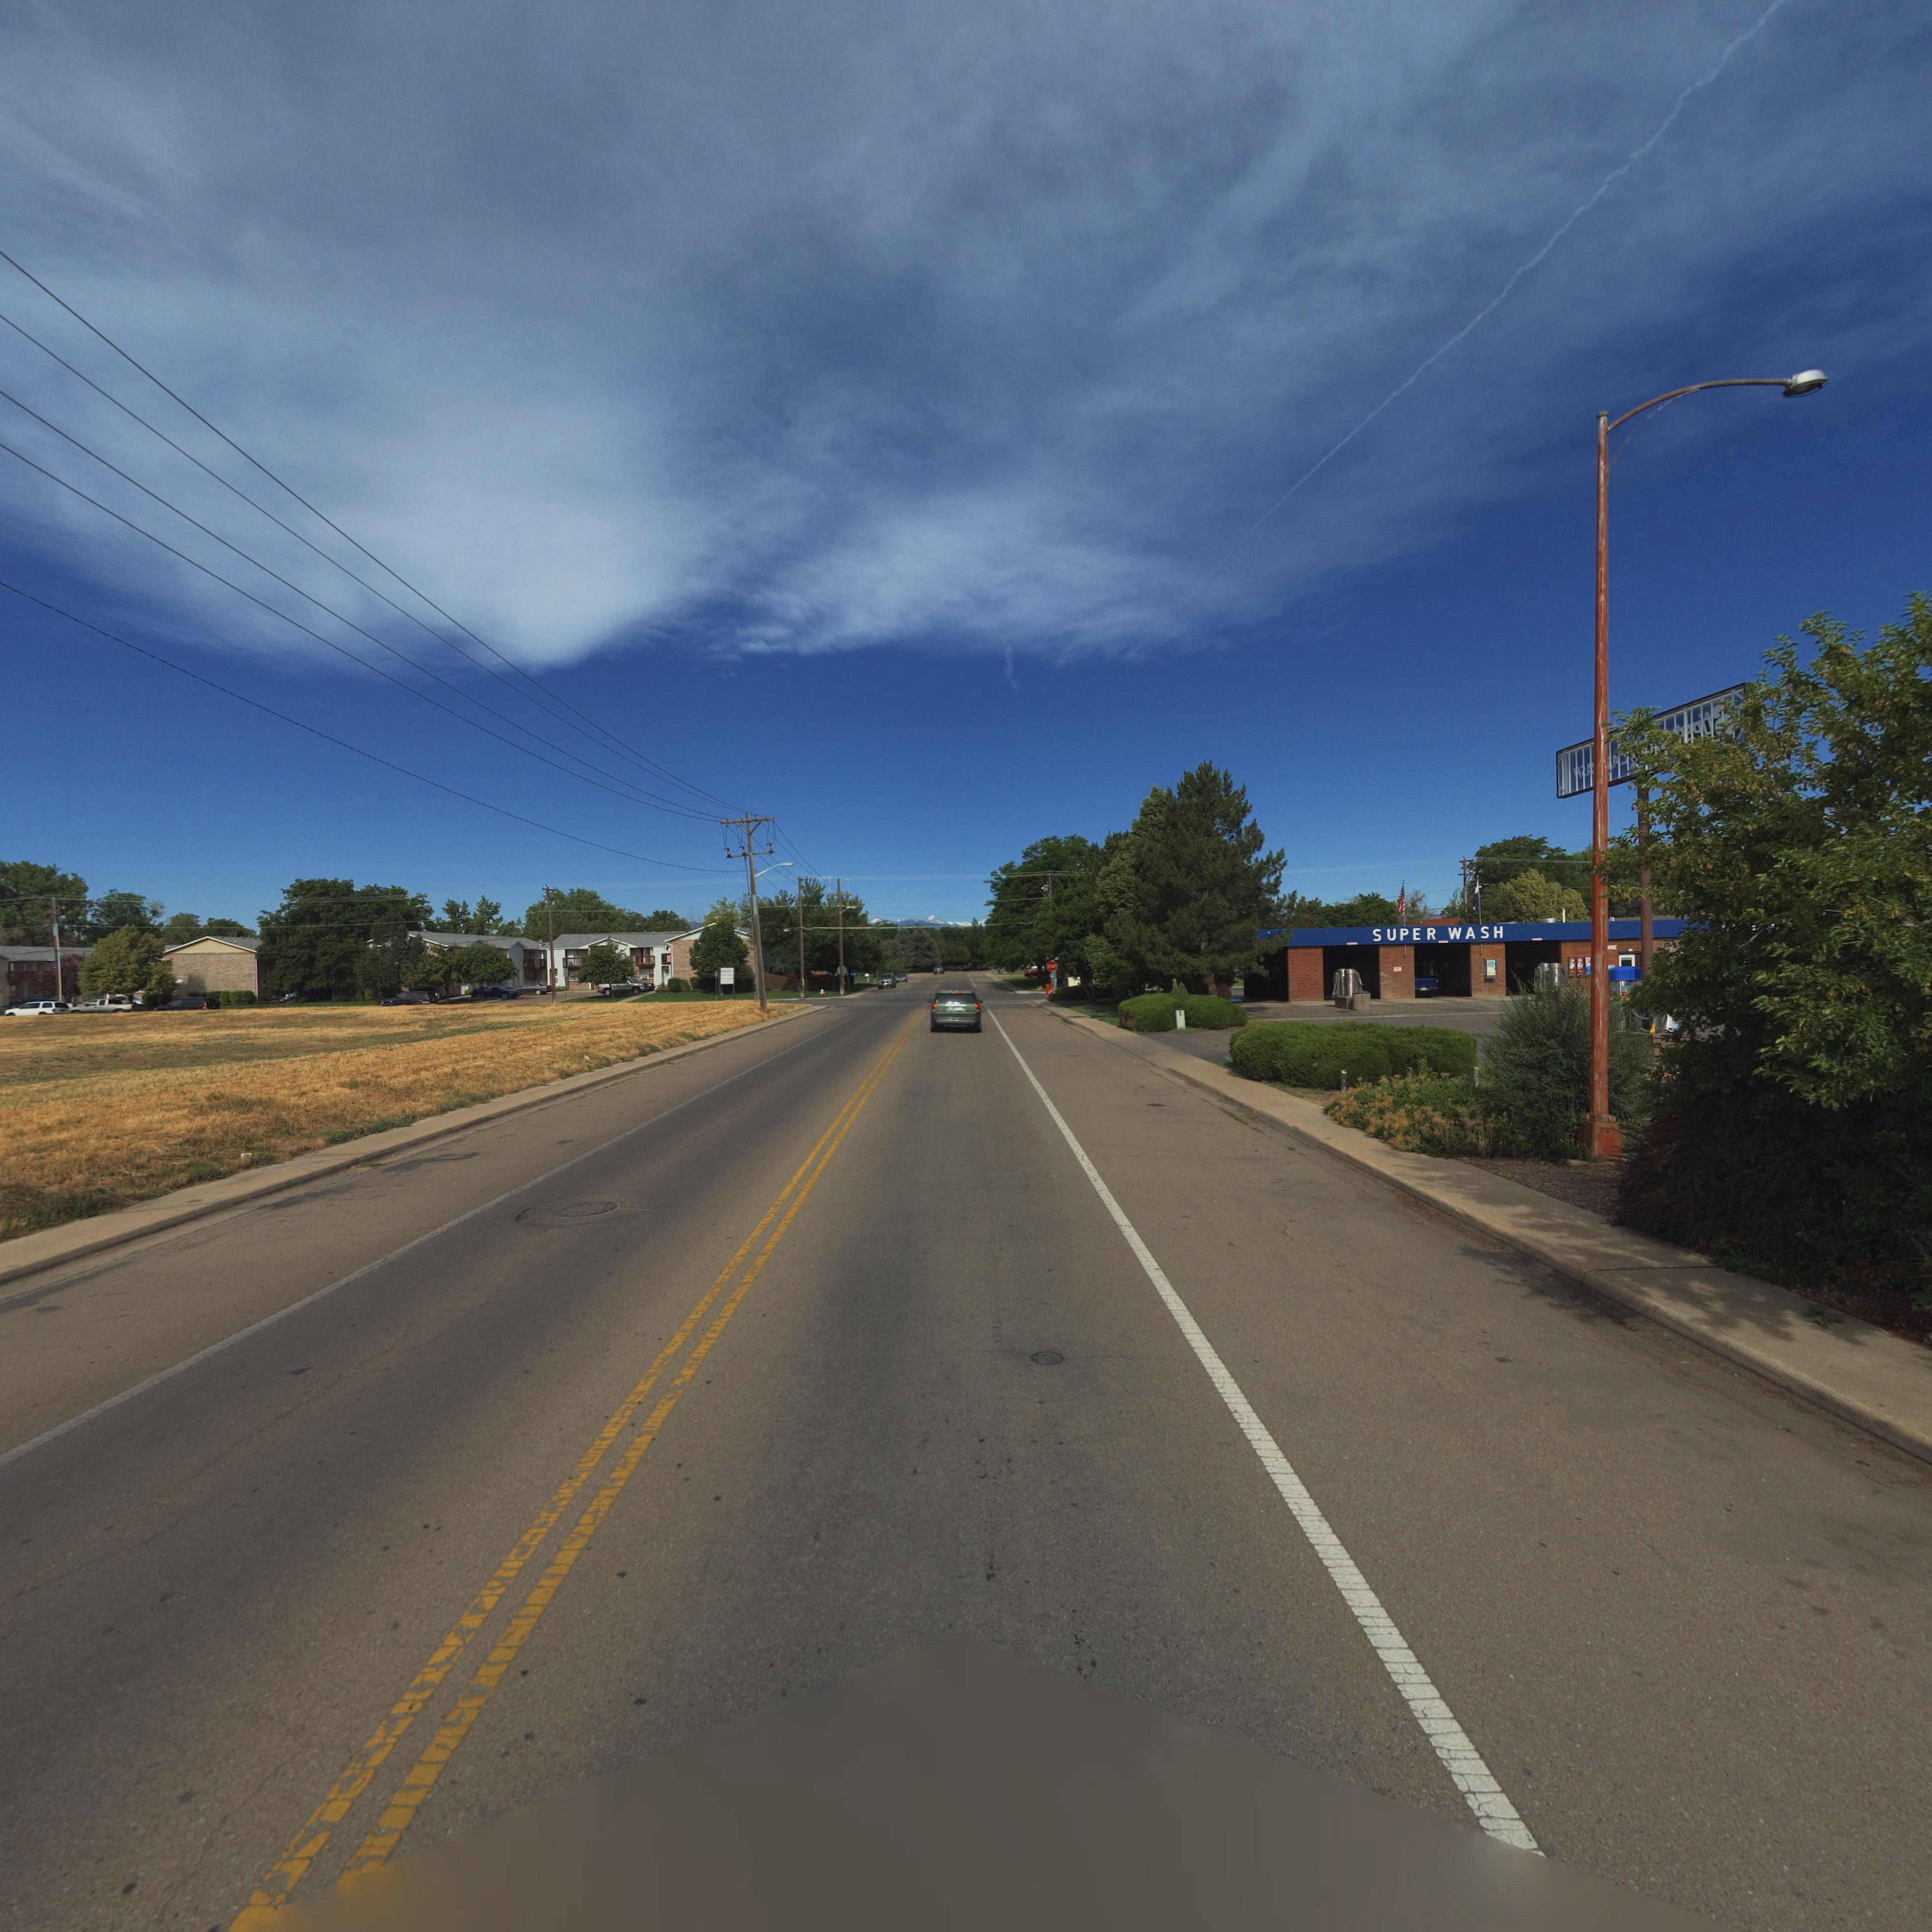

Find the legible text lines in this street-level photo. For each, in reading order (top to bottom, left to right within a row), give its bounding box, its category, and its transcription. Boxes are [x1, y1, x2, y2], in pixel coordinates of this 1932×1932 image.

[1372, 926, 1503, 942] BusinessName: SUPER WASH